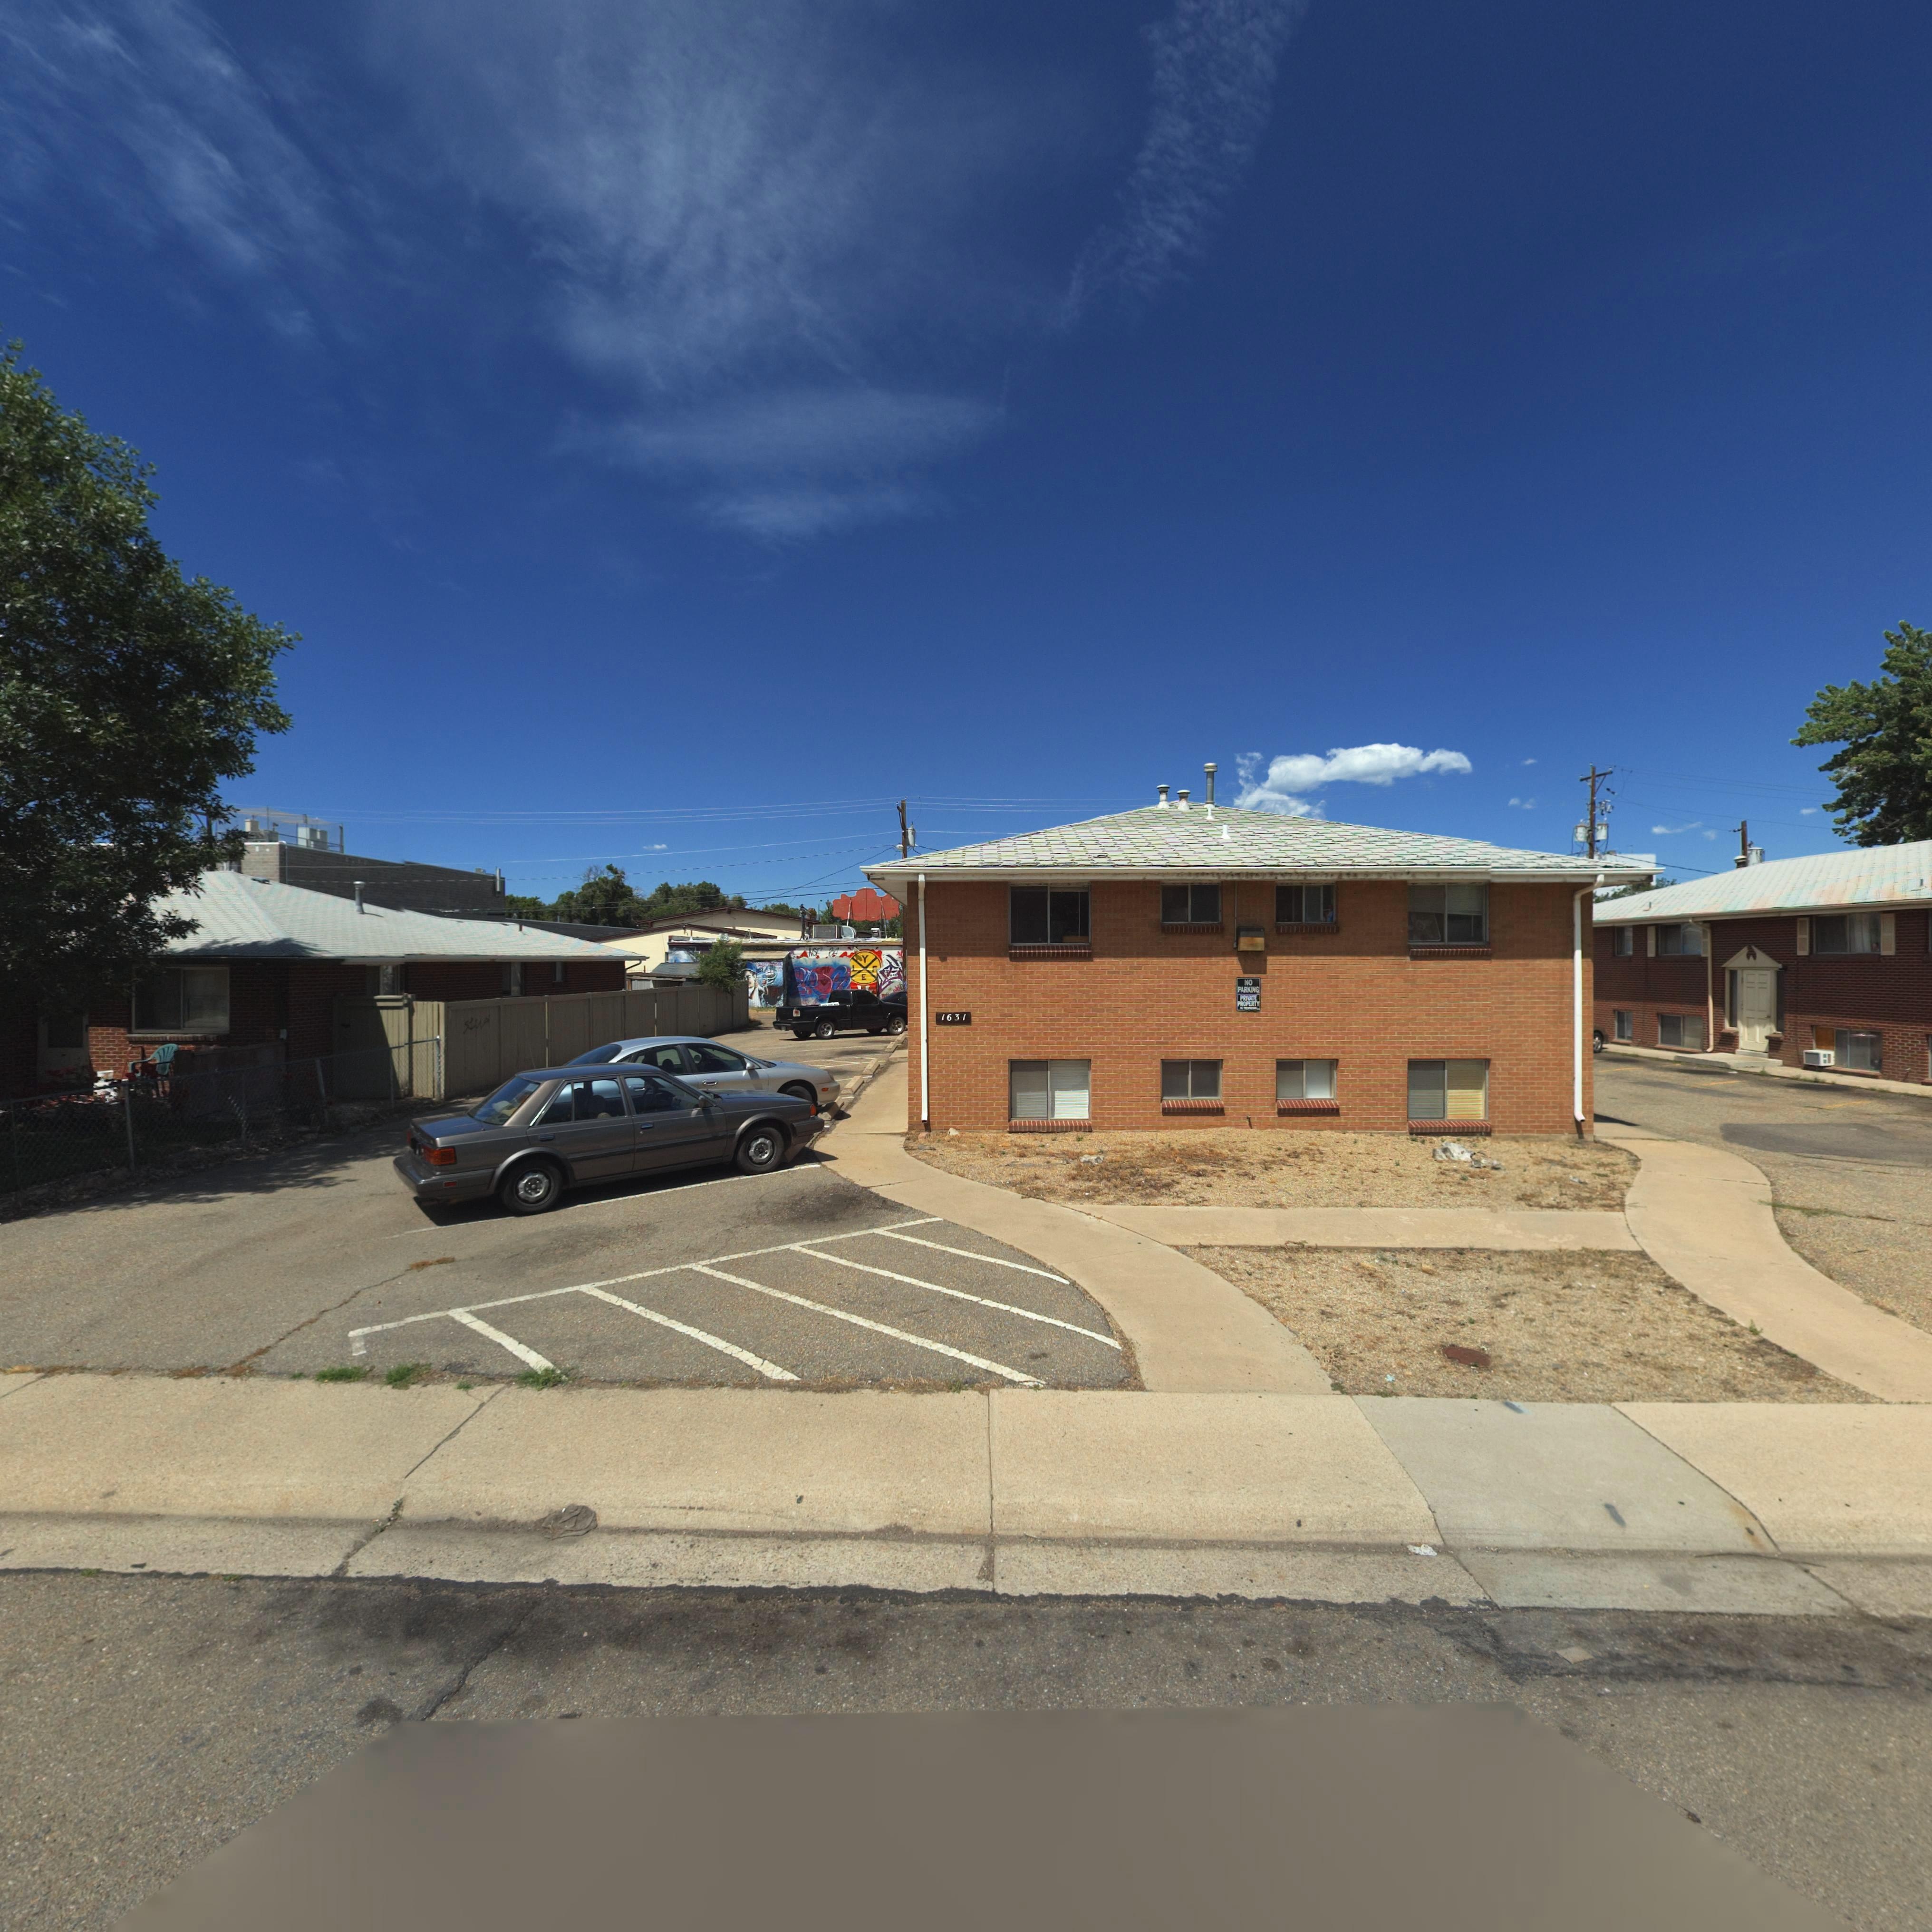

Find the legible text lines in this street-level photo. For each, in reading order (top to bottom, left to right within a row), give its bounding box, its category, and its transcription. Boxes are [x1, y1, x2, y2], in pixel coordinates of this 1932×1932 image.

[940, 1013, 966, 1021] StreetNumber: 1631